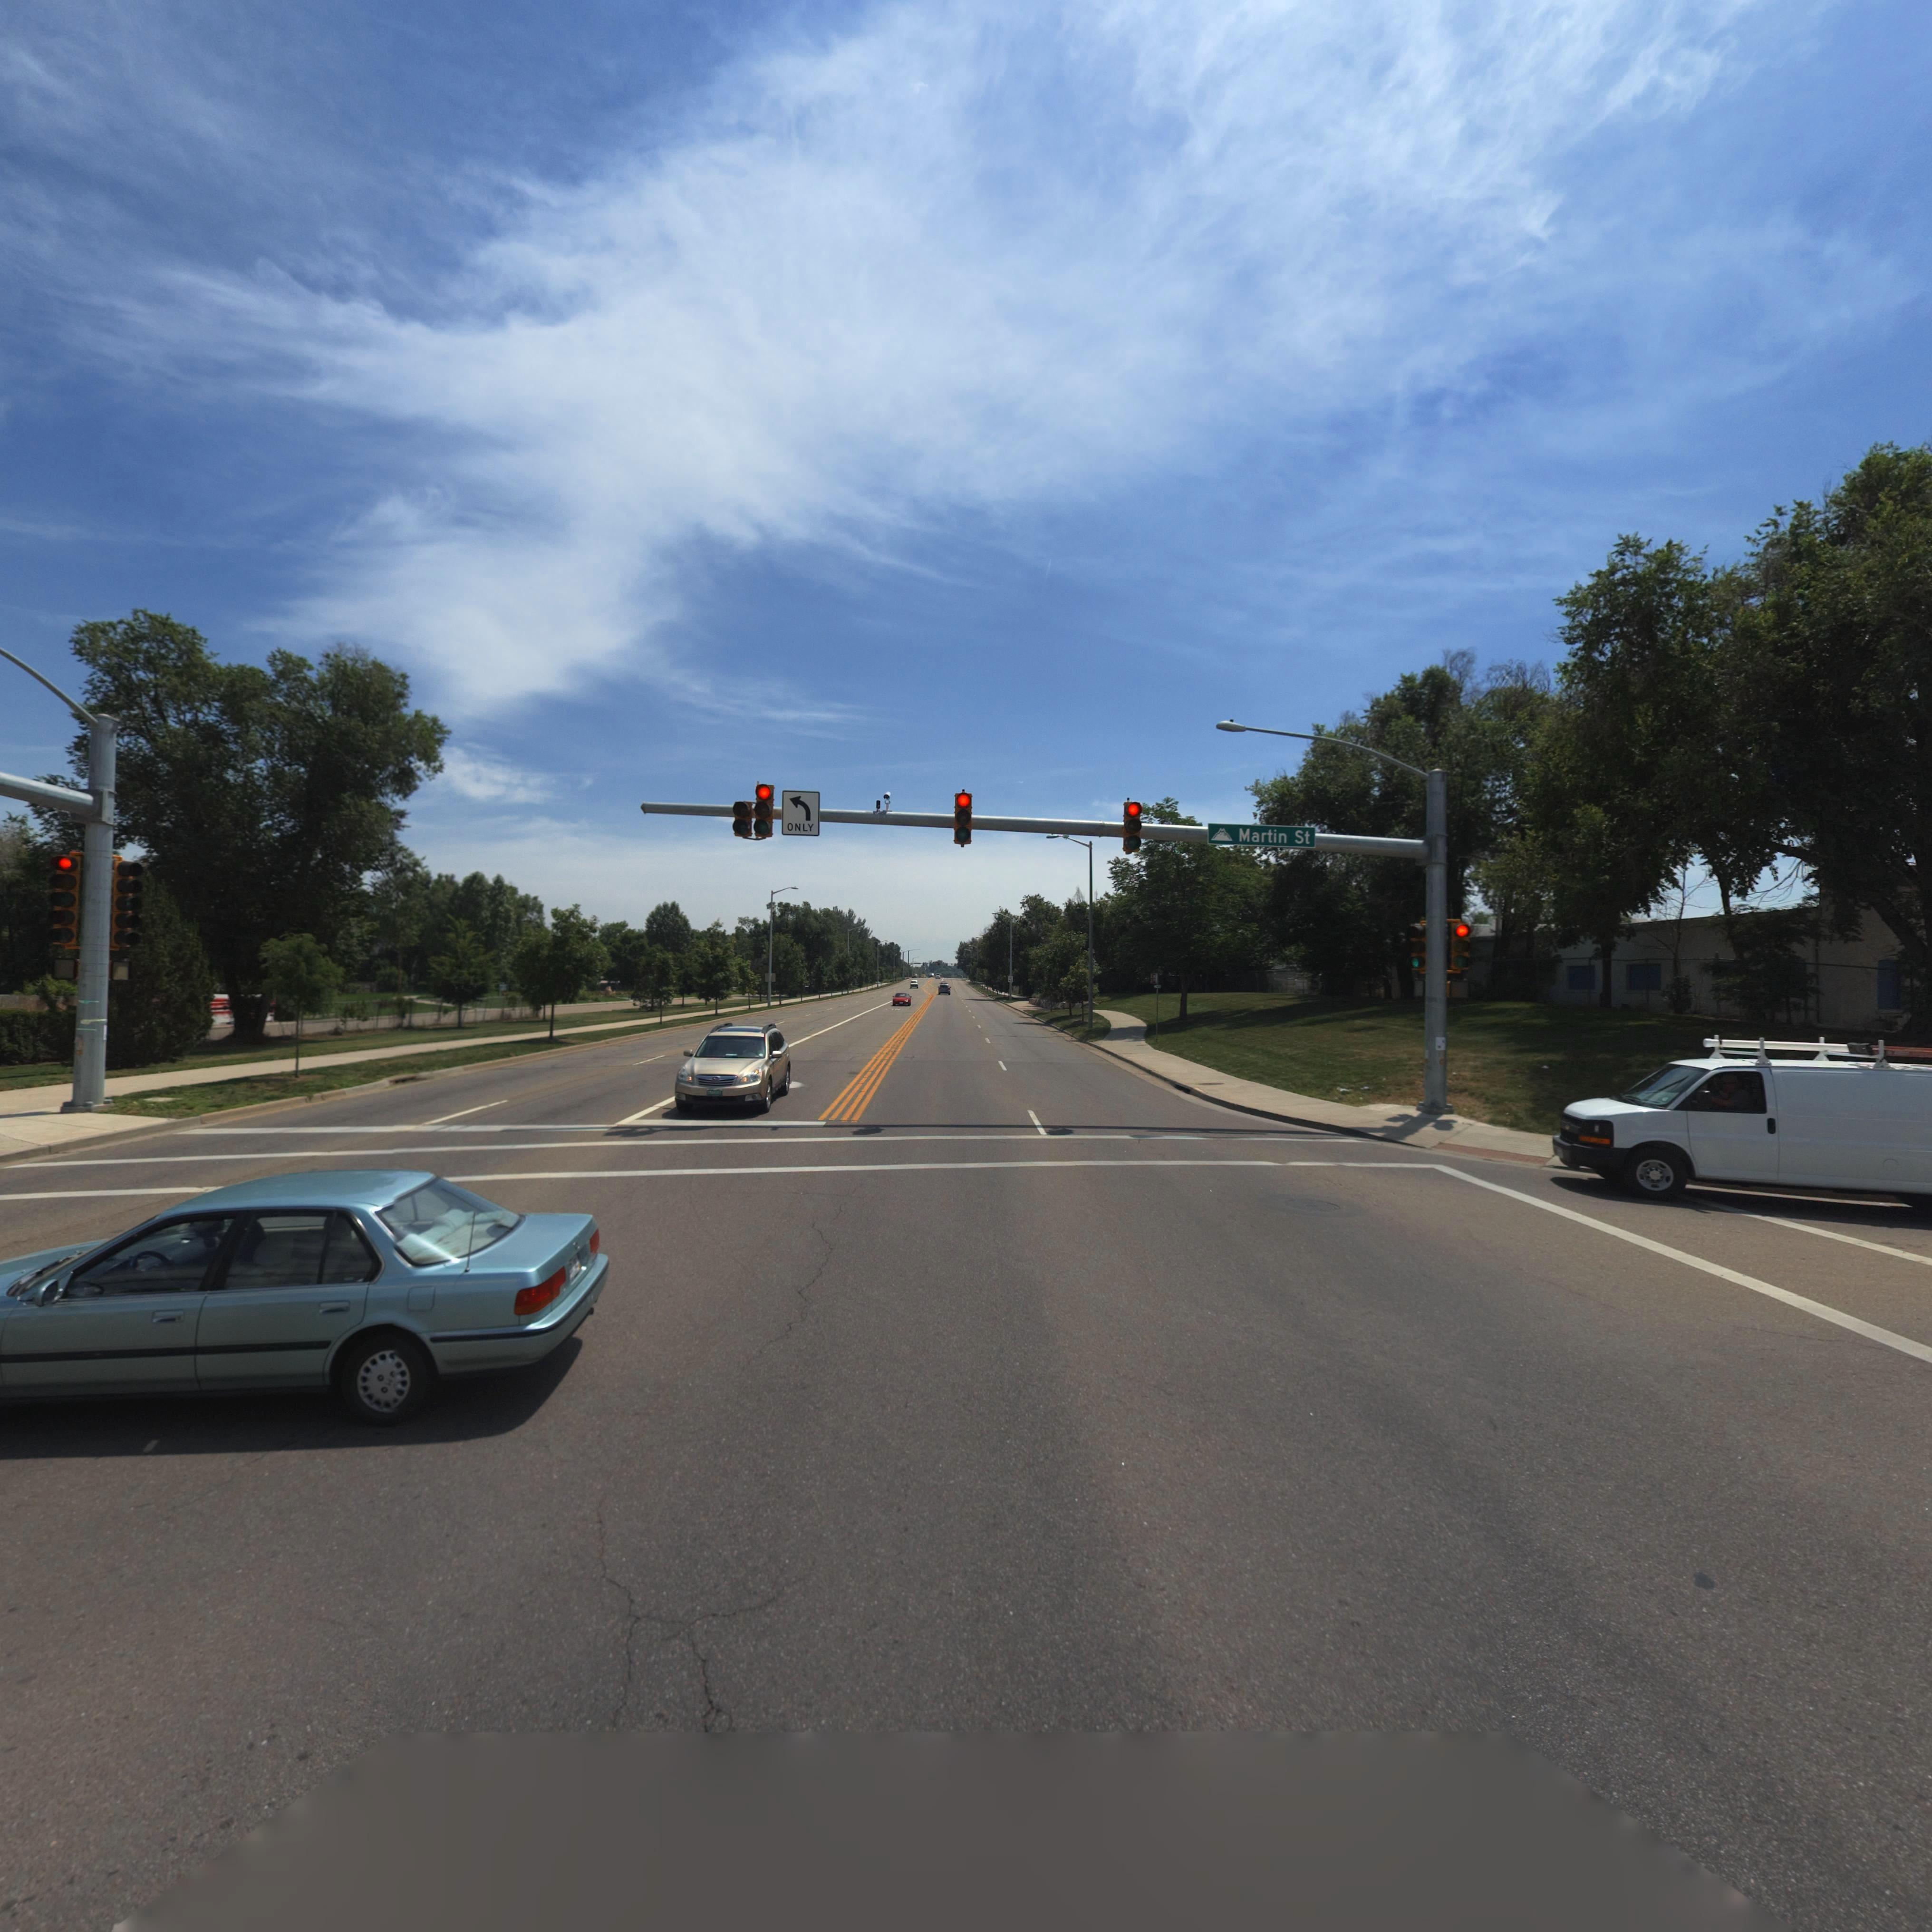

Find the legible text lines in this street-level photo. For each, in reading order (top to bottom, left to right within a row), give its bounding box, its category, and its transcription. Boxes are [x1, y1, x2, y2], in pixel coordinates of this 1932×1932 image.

[1238, 827, 1310, 845] StreetName: Martin St